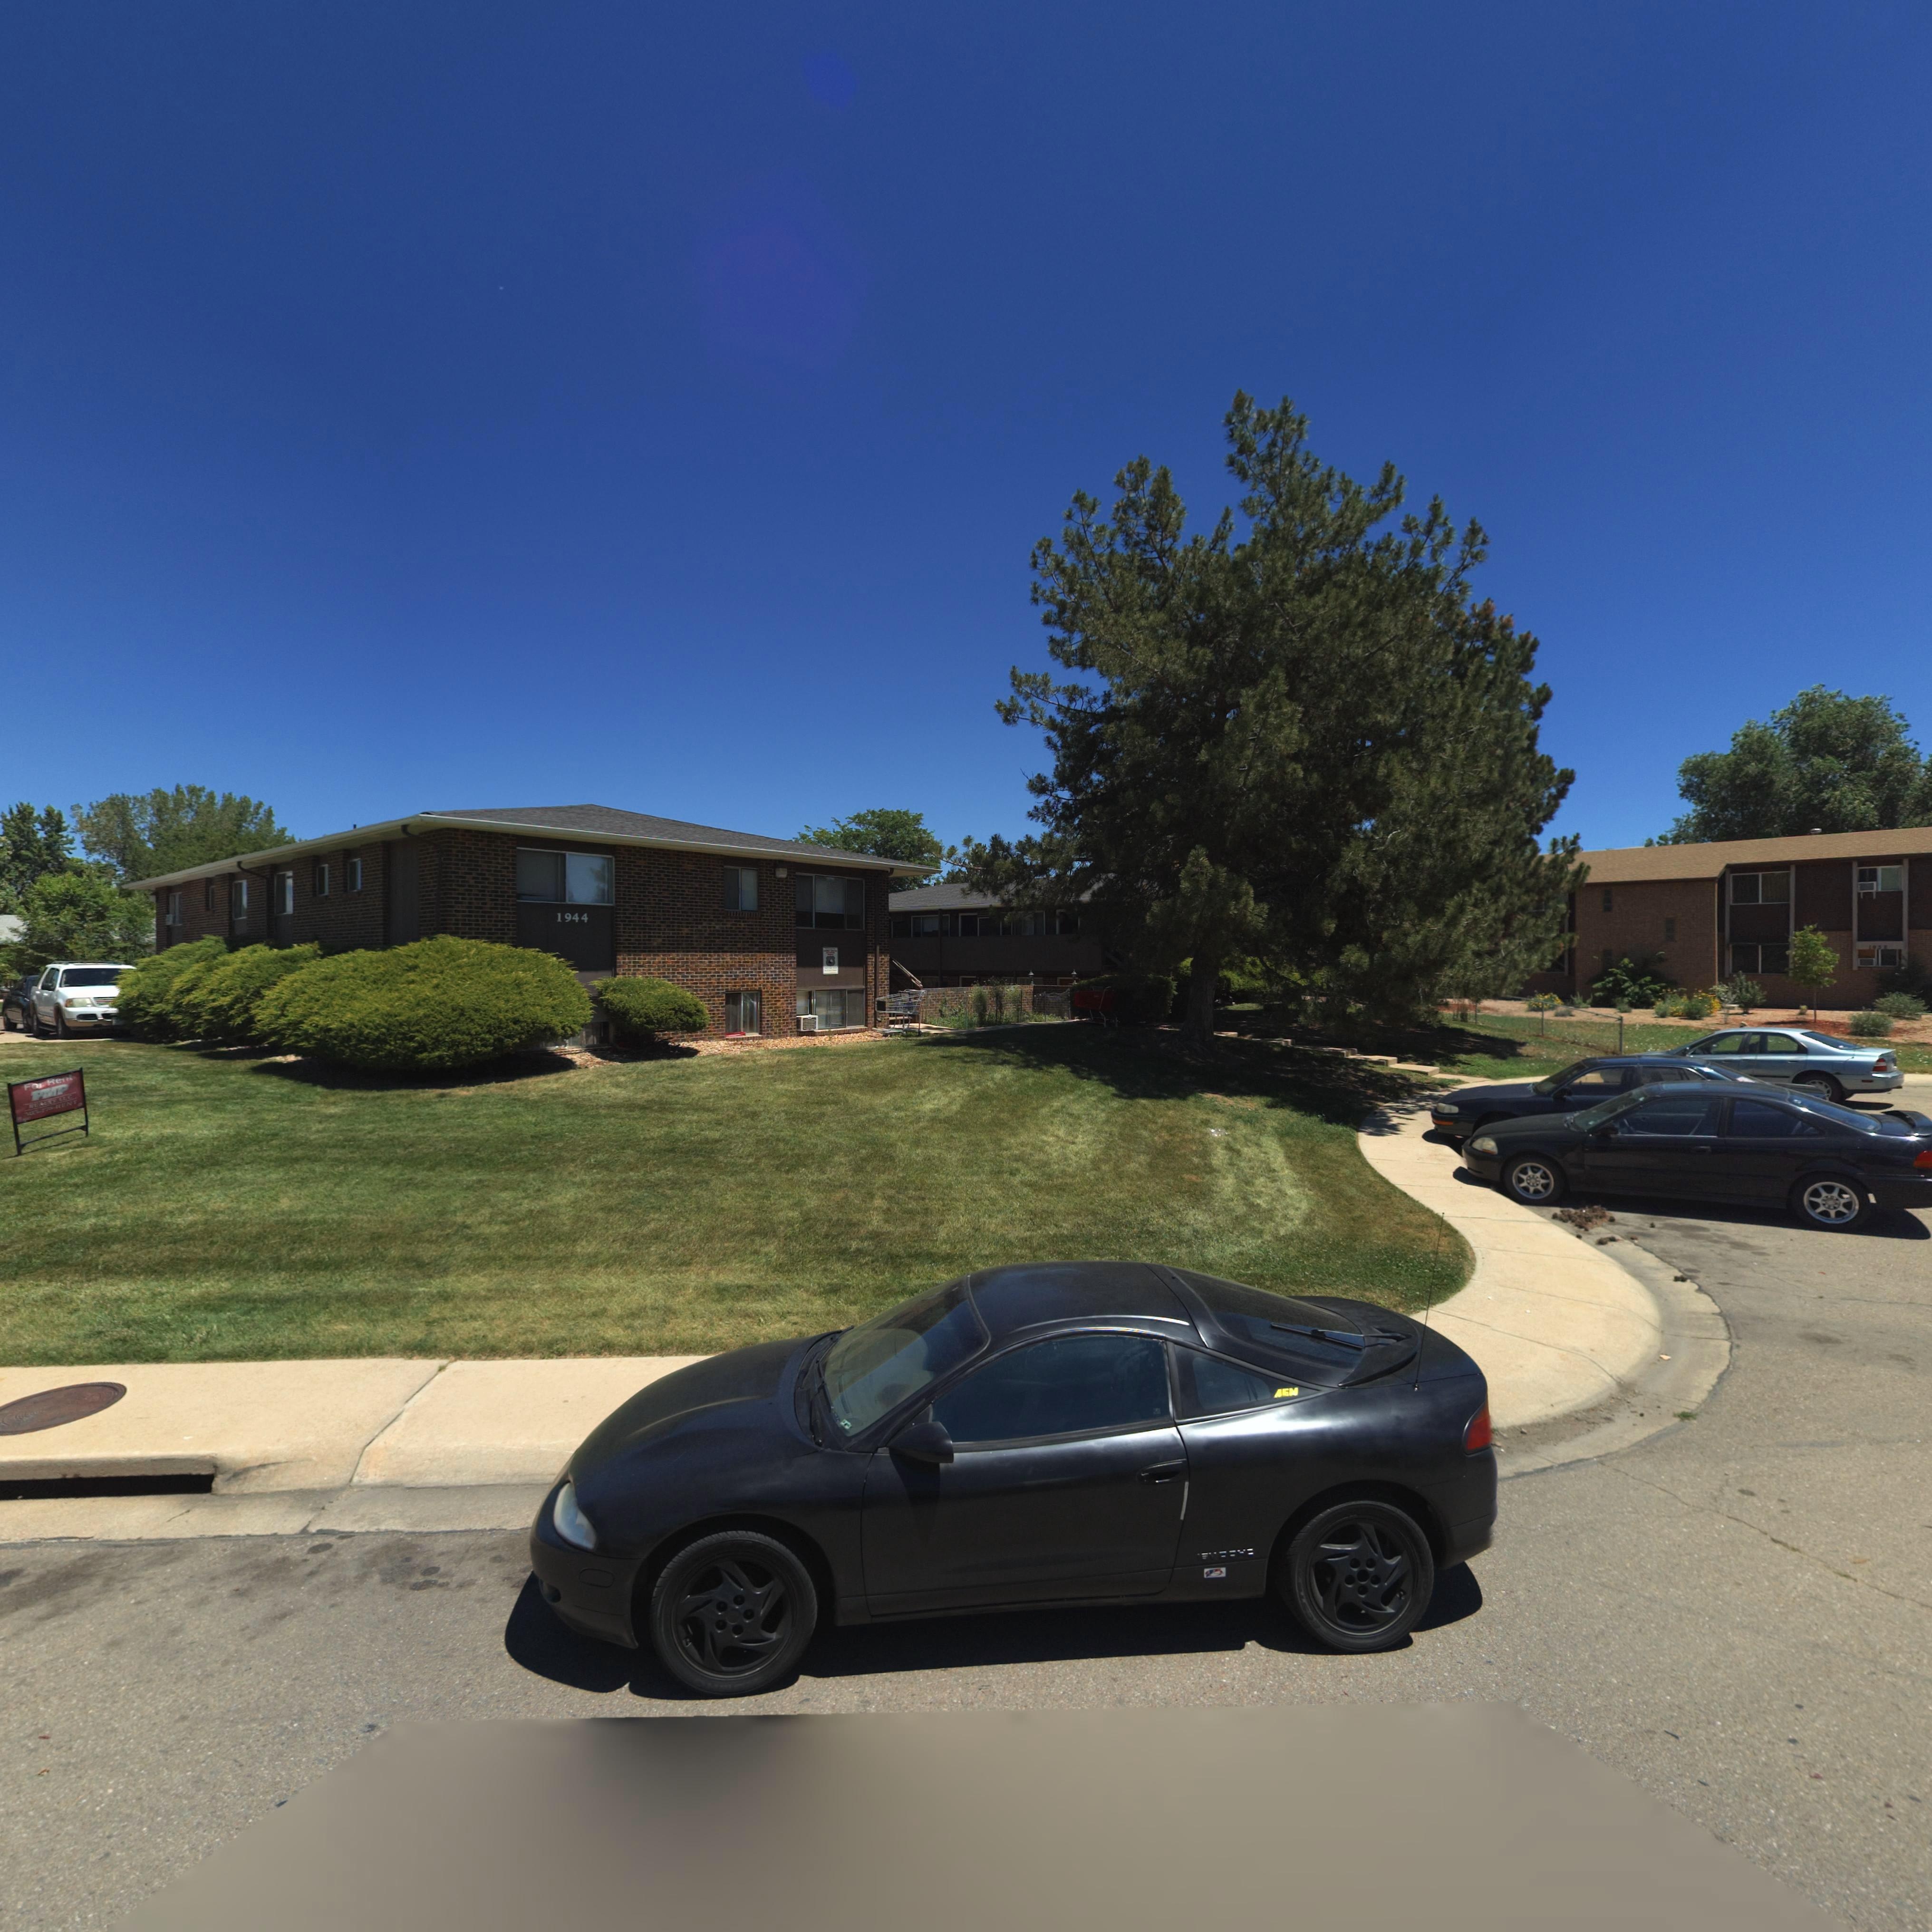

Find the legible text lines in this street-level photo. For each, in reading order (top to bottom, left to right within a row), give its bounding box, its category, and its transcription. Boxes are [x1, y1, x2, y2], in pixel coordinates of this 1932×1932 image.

[556, 912, 589, 923] StreetNumber: 1944
[1868, 944, 1888, 950] StreetNumber: 193*